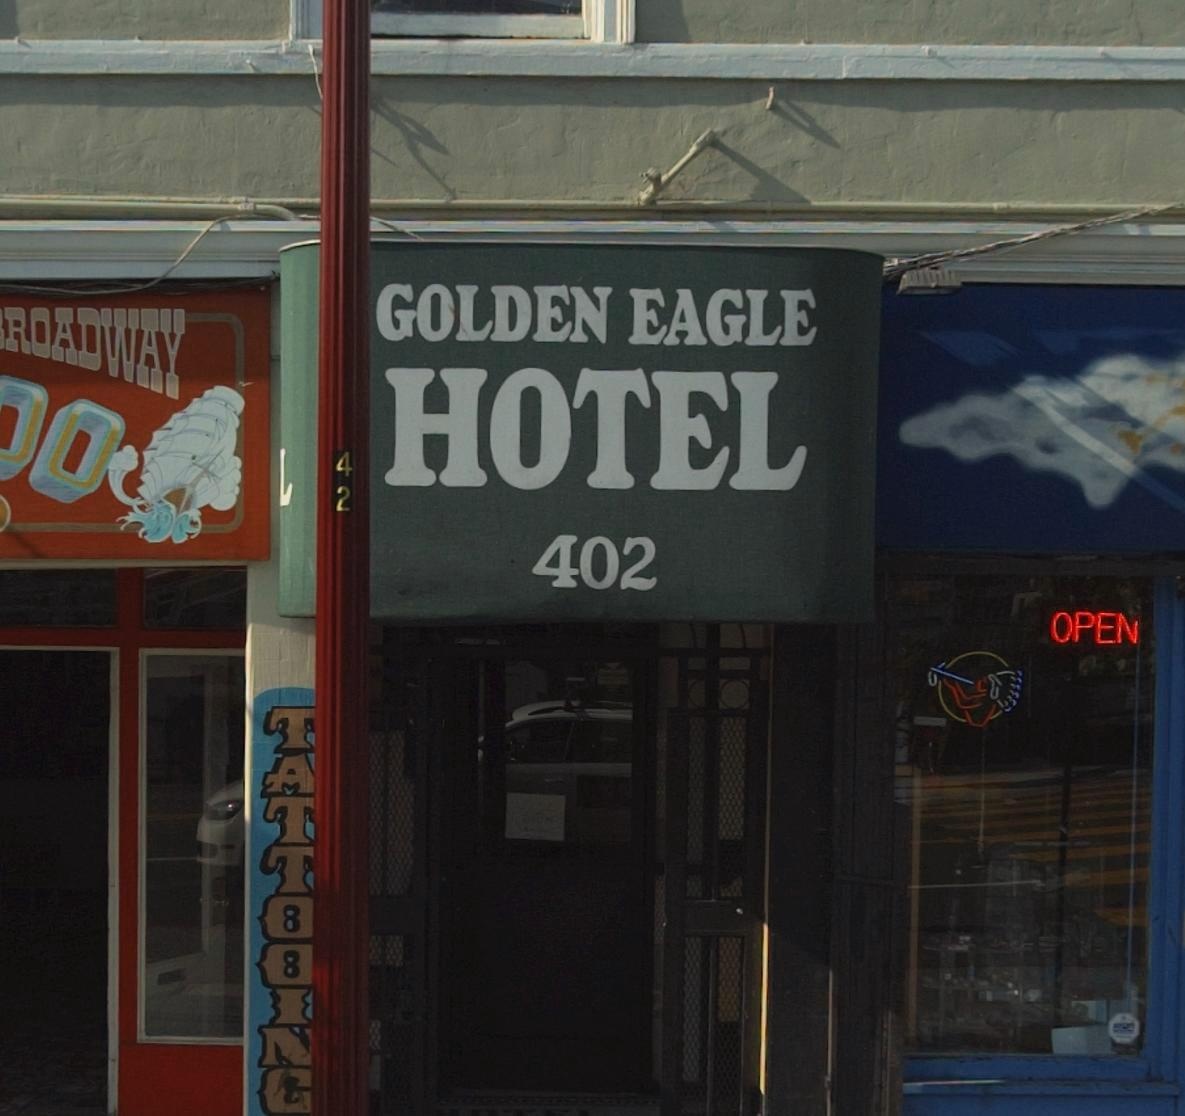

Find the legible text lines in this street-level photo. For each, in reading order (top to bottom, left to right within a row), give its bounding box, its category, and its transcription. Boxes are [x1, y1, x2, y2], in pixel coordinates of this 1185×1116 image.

[1, 303, 187, 404] BusinessName: ROADWAY
[374, 276, 817, 350] BusinessName: GOLDEN EAGLE
[40, 393, 133, 499] None: O
[332, 448, 353, 513] None: 42
[381, 363, 811, 494] BusinessName: HOTEL
[526, 528, 659, 594] StreetNumber: 402
[1049, 605, 1139, 645] None: OPEN
[259, 699, 315, 1113] None: TATTOOING